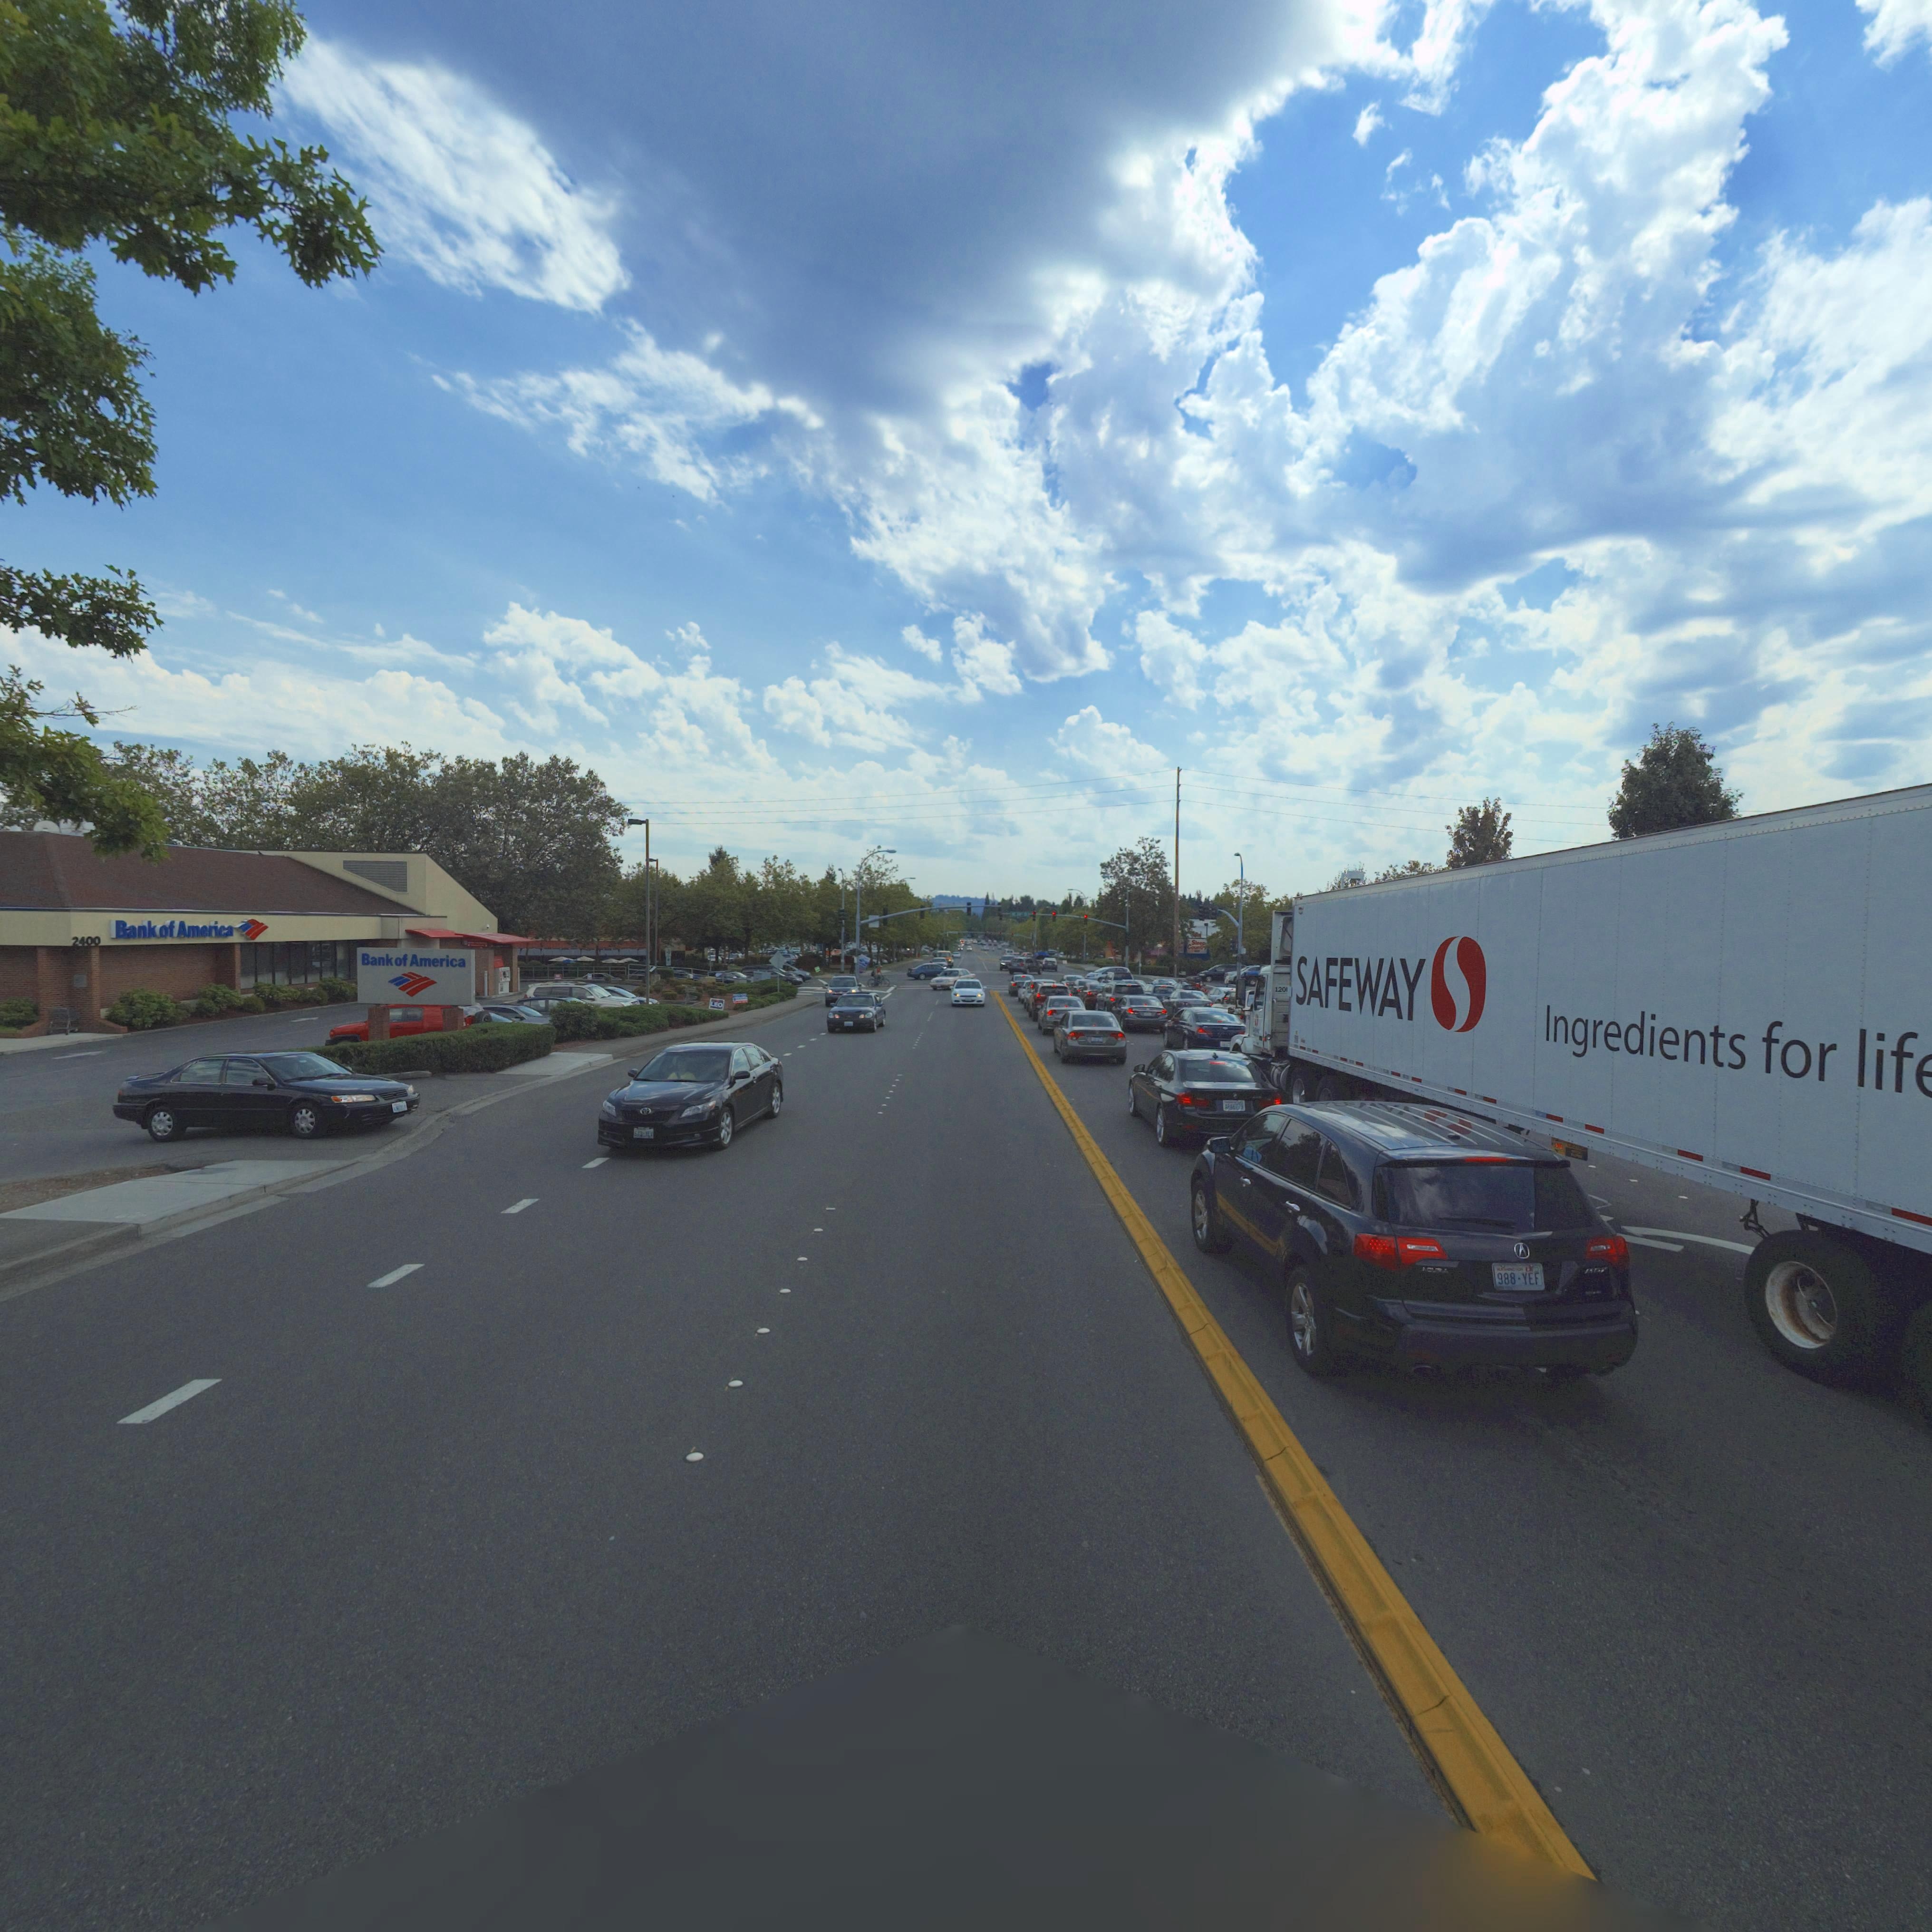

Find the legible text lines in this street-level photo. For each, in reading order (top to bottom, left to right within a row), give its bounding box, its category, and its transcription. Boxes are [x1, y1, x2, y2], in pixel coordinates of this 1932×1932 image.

[114, 919, 234, 939] BusinessName: Bank of America
[71, 936, 101, 947] StreetNumber: 2400
[1187, 944, 1205, 950] BusinessName: Countr
[1191, 939, 1206, 946] BusinessName: Sleep
[361, 953, 466, 968] BusinessName: Bank of America